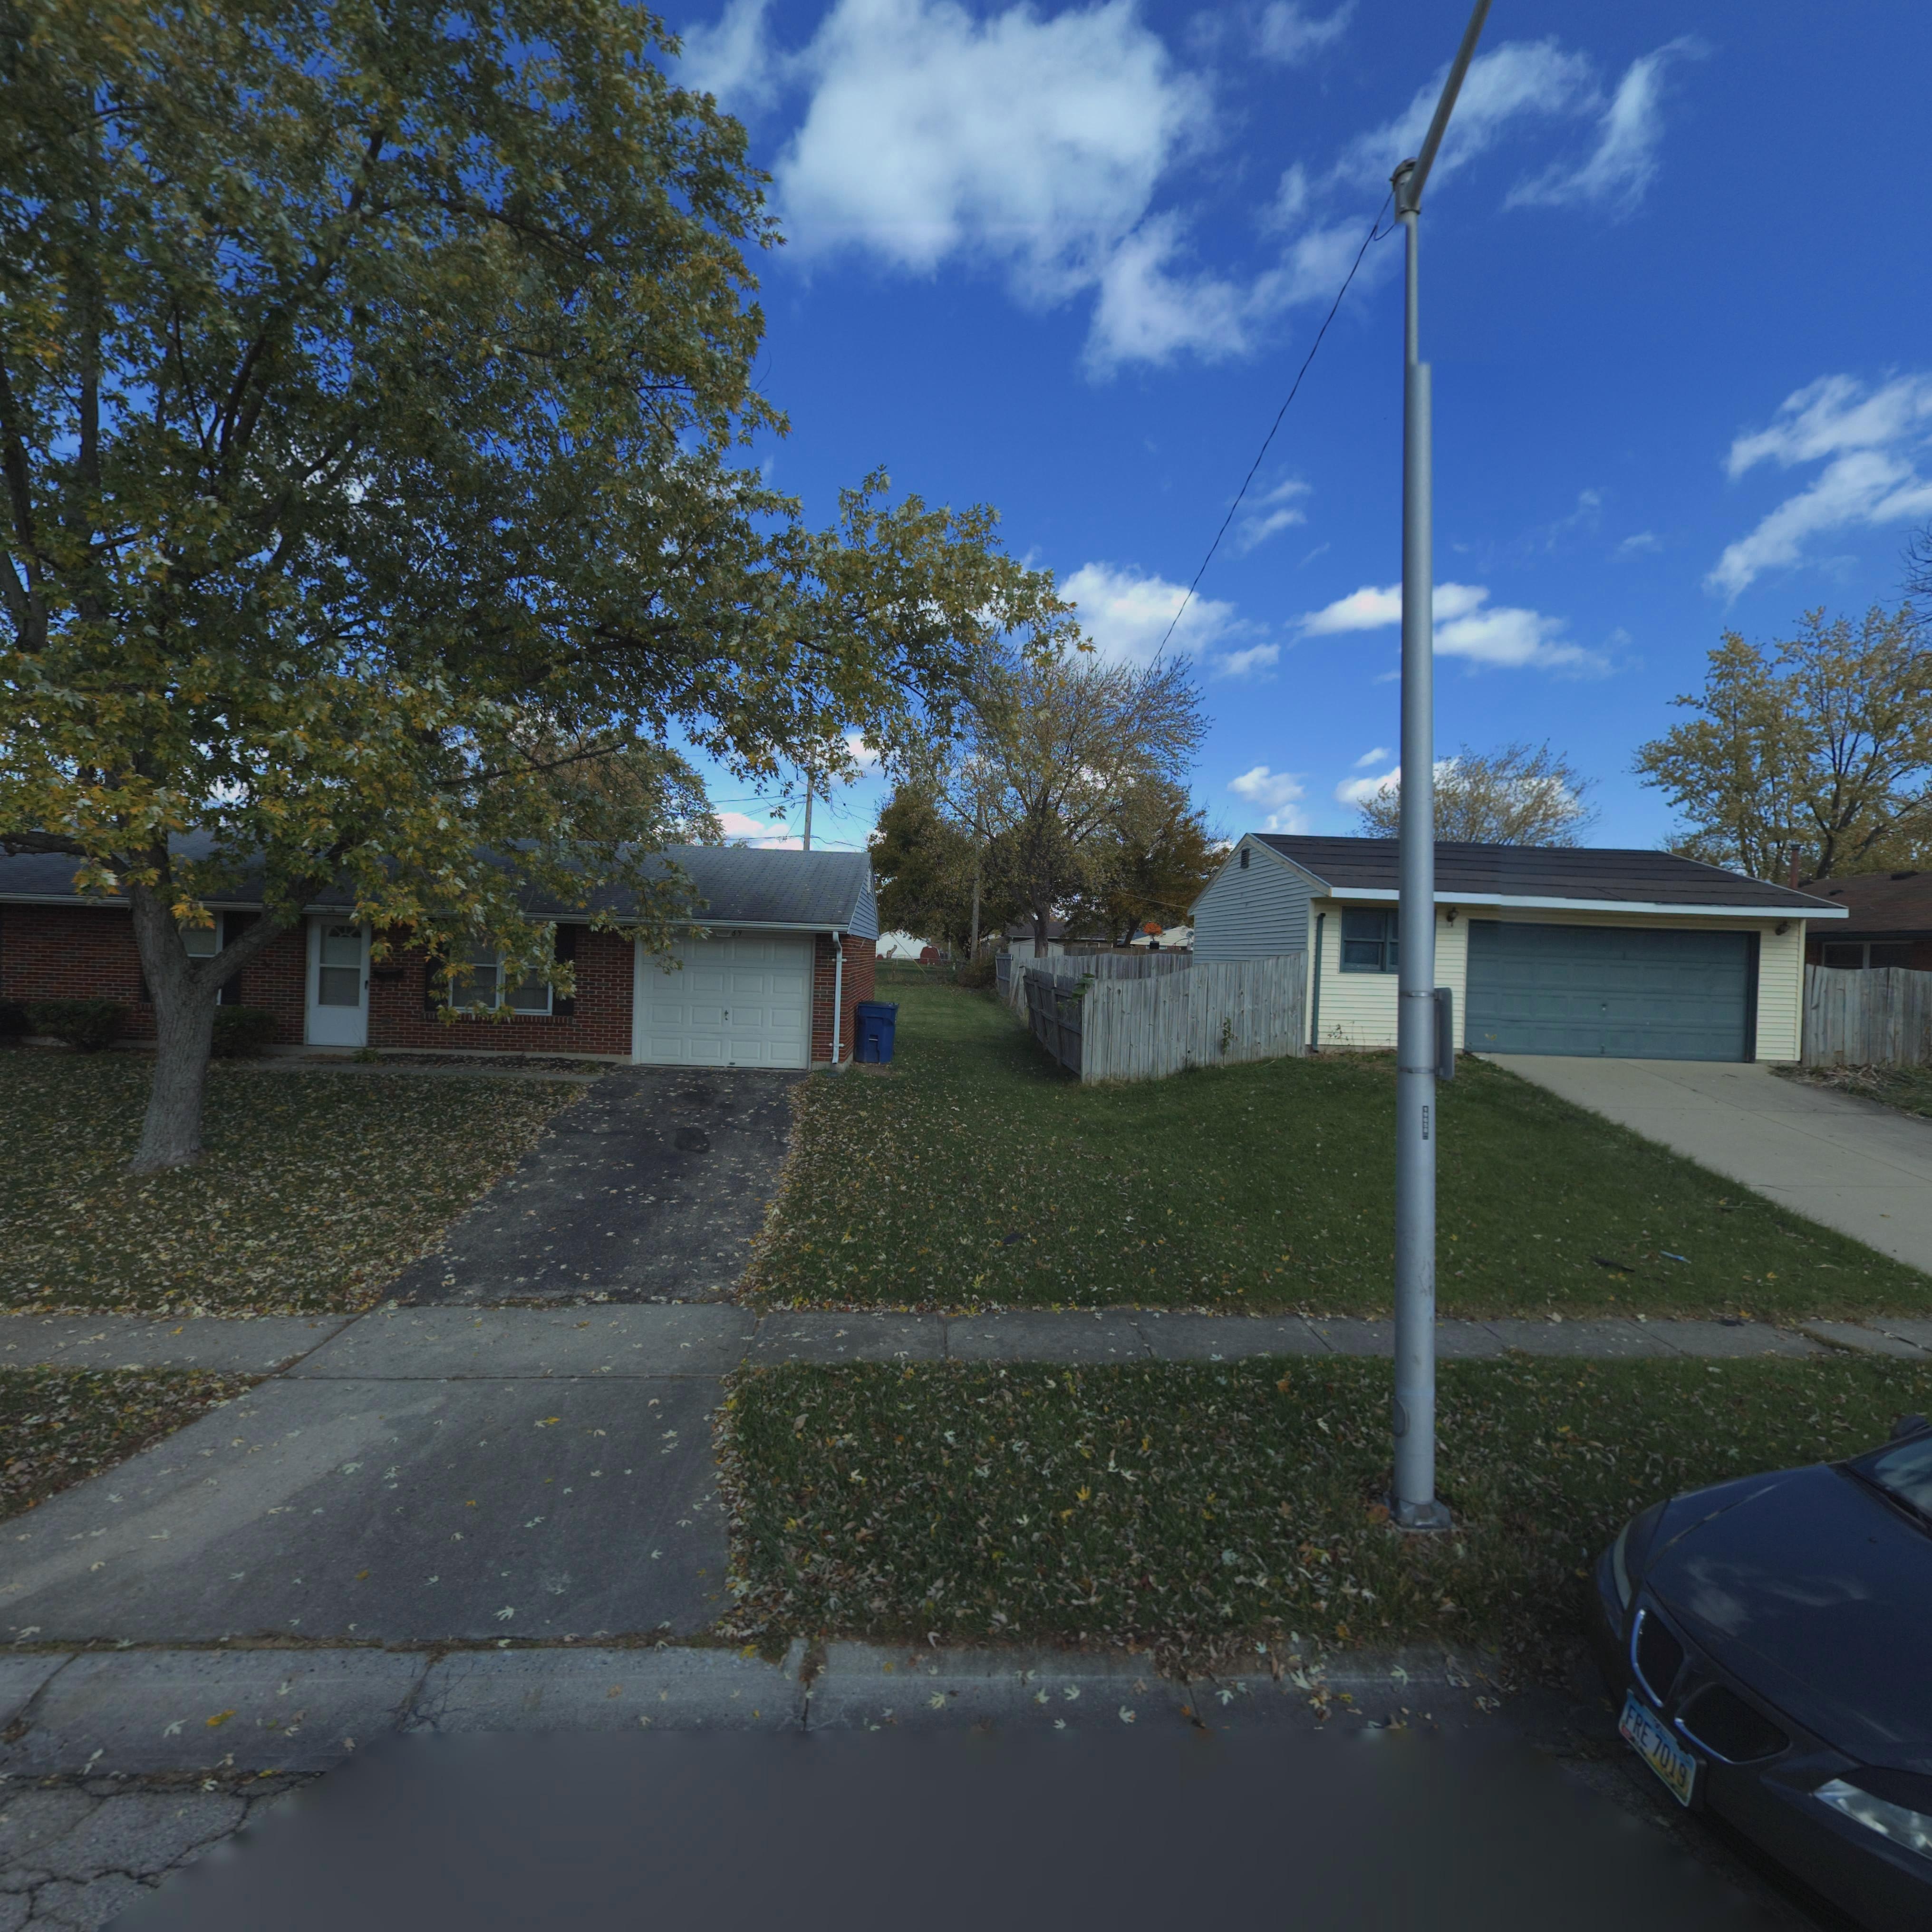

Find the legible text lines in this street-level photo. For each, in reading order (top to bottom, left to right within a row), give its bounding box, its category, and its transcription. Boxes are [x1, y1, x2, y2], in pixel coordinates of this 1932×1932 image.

[731, 929, 743, 937] StreetNumber: *9